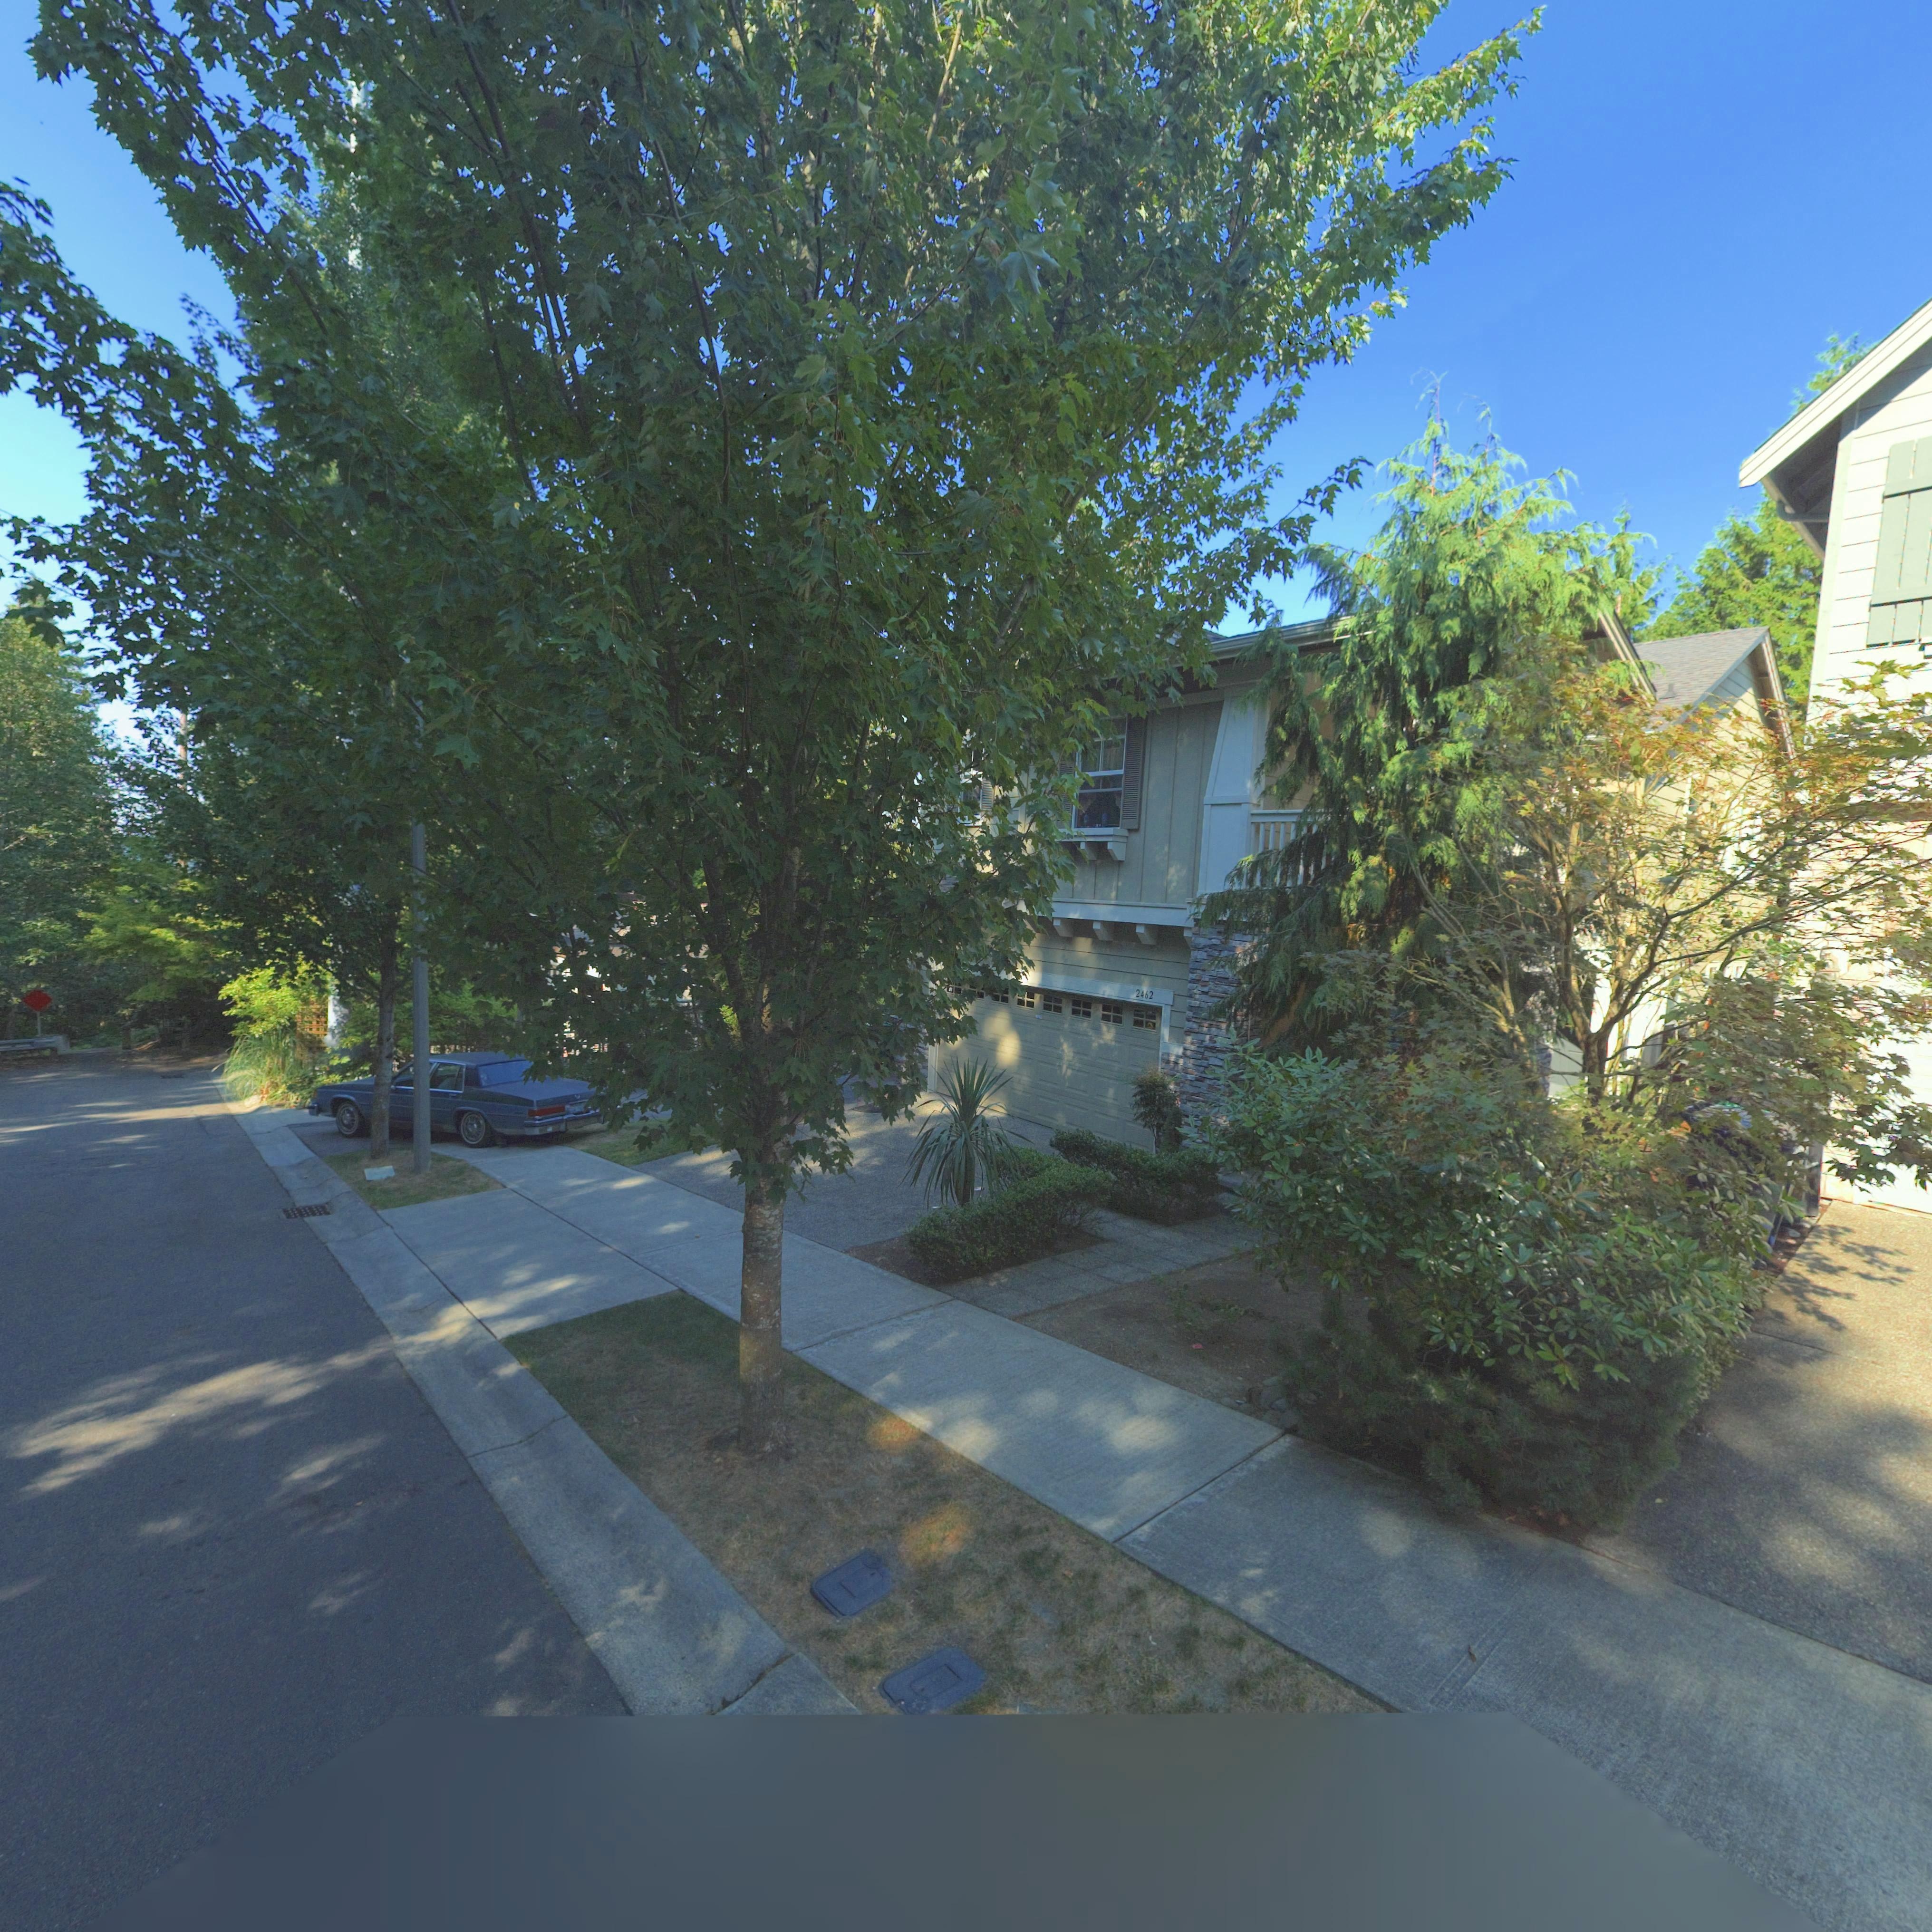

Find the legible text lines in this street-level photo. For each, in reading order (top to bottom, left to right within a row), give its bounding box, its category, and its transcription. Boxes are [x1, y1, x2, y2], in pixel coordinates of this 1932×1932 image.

[1136, 988, 1154, 999] StreetNumber: 2462